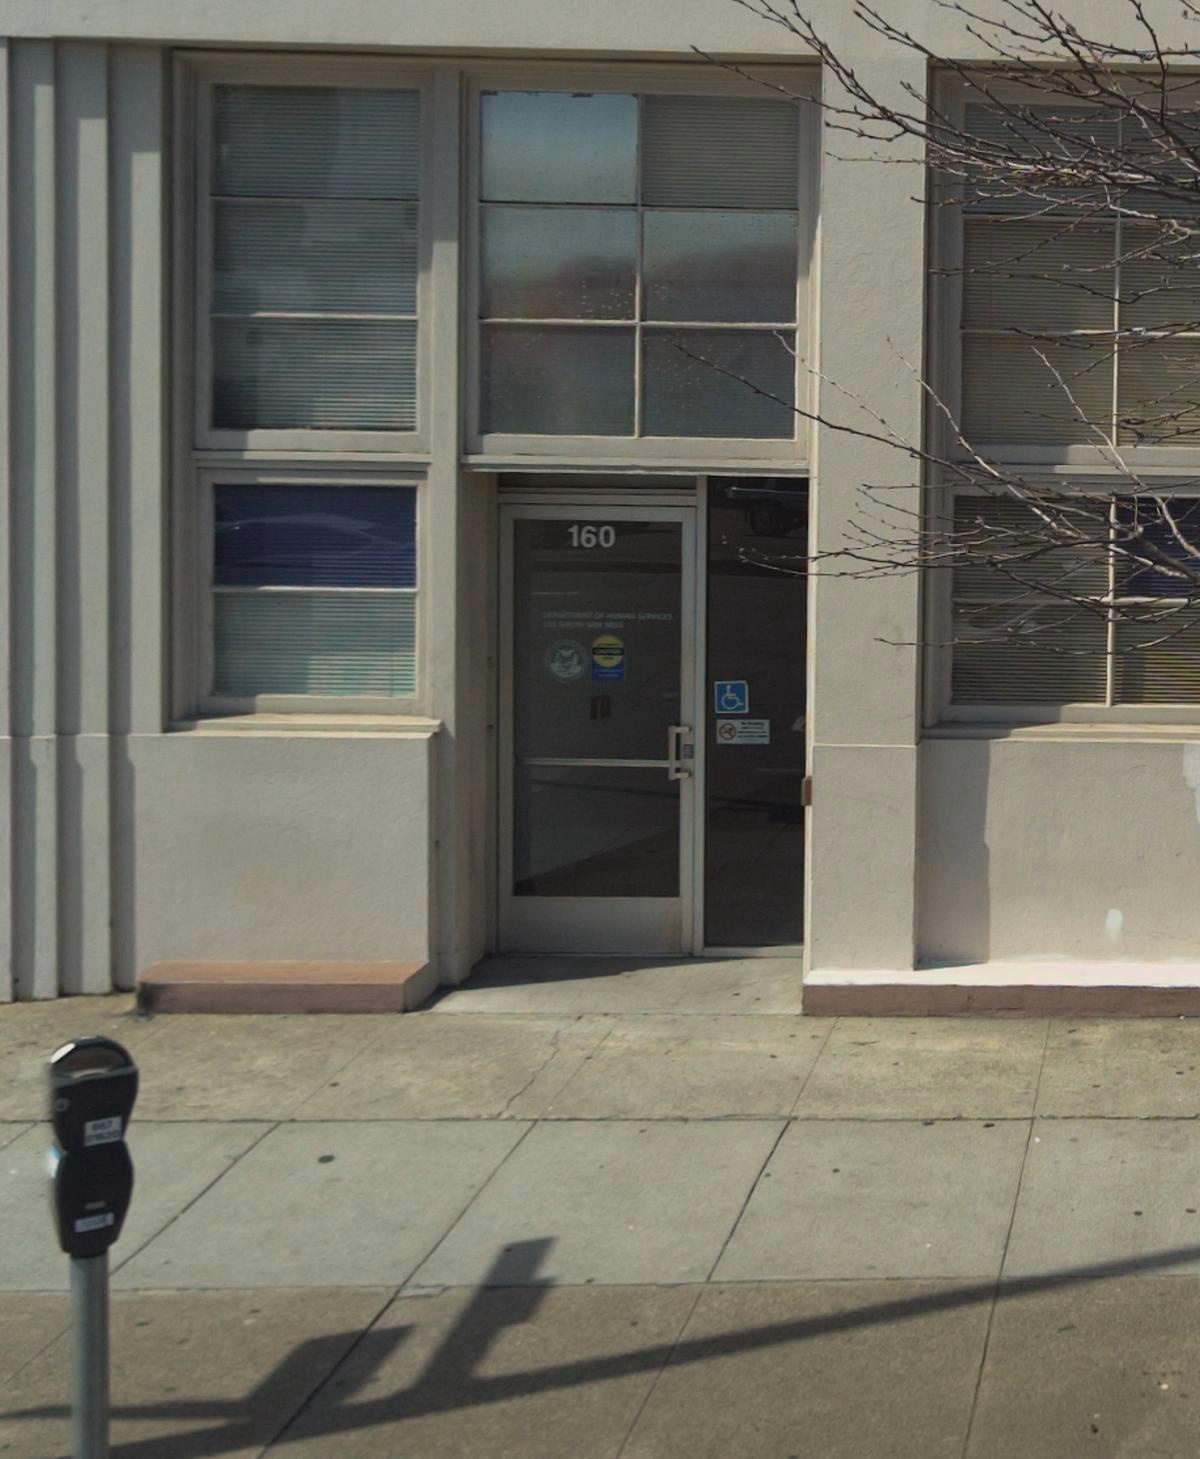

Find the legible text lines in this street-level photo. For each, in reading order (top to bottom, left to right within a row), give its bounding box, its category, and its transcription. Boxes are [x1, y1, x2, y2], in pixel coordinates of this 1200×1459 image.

[567, 524, 617, 549] StreetNumber: 160